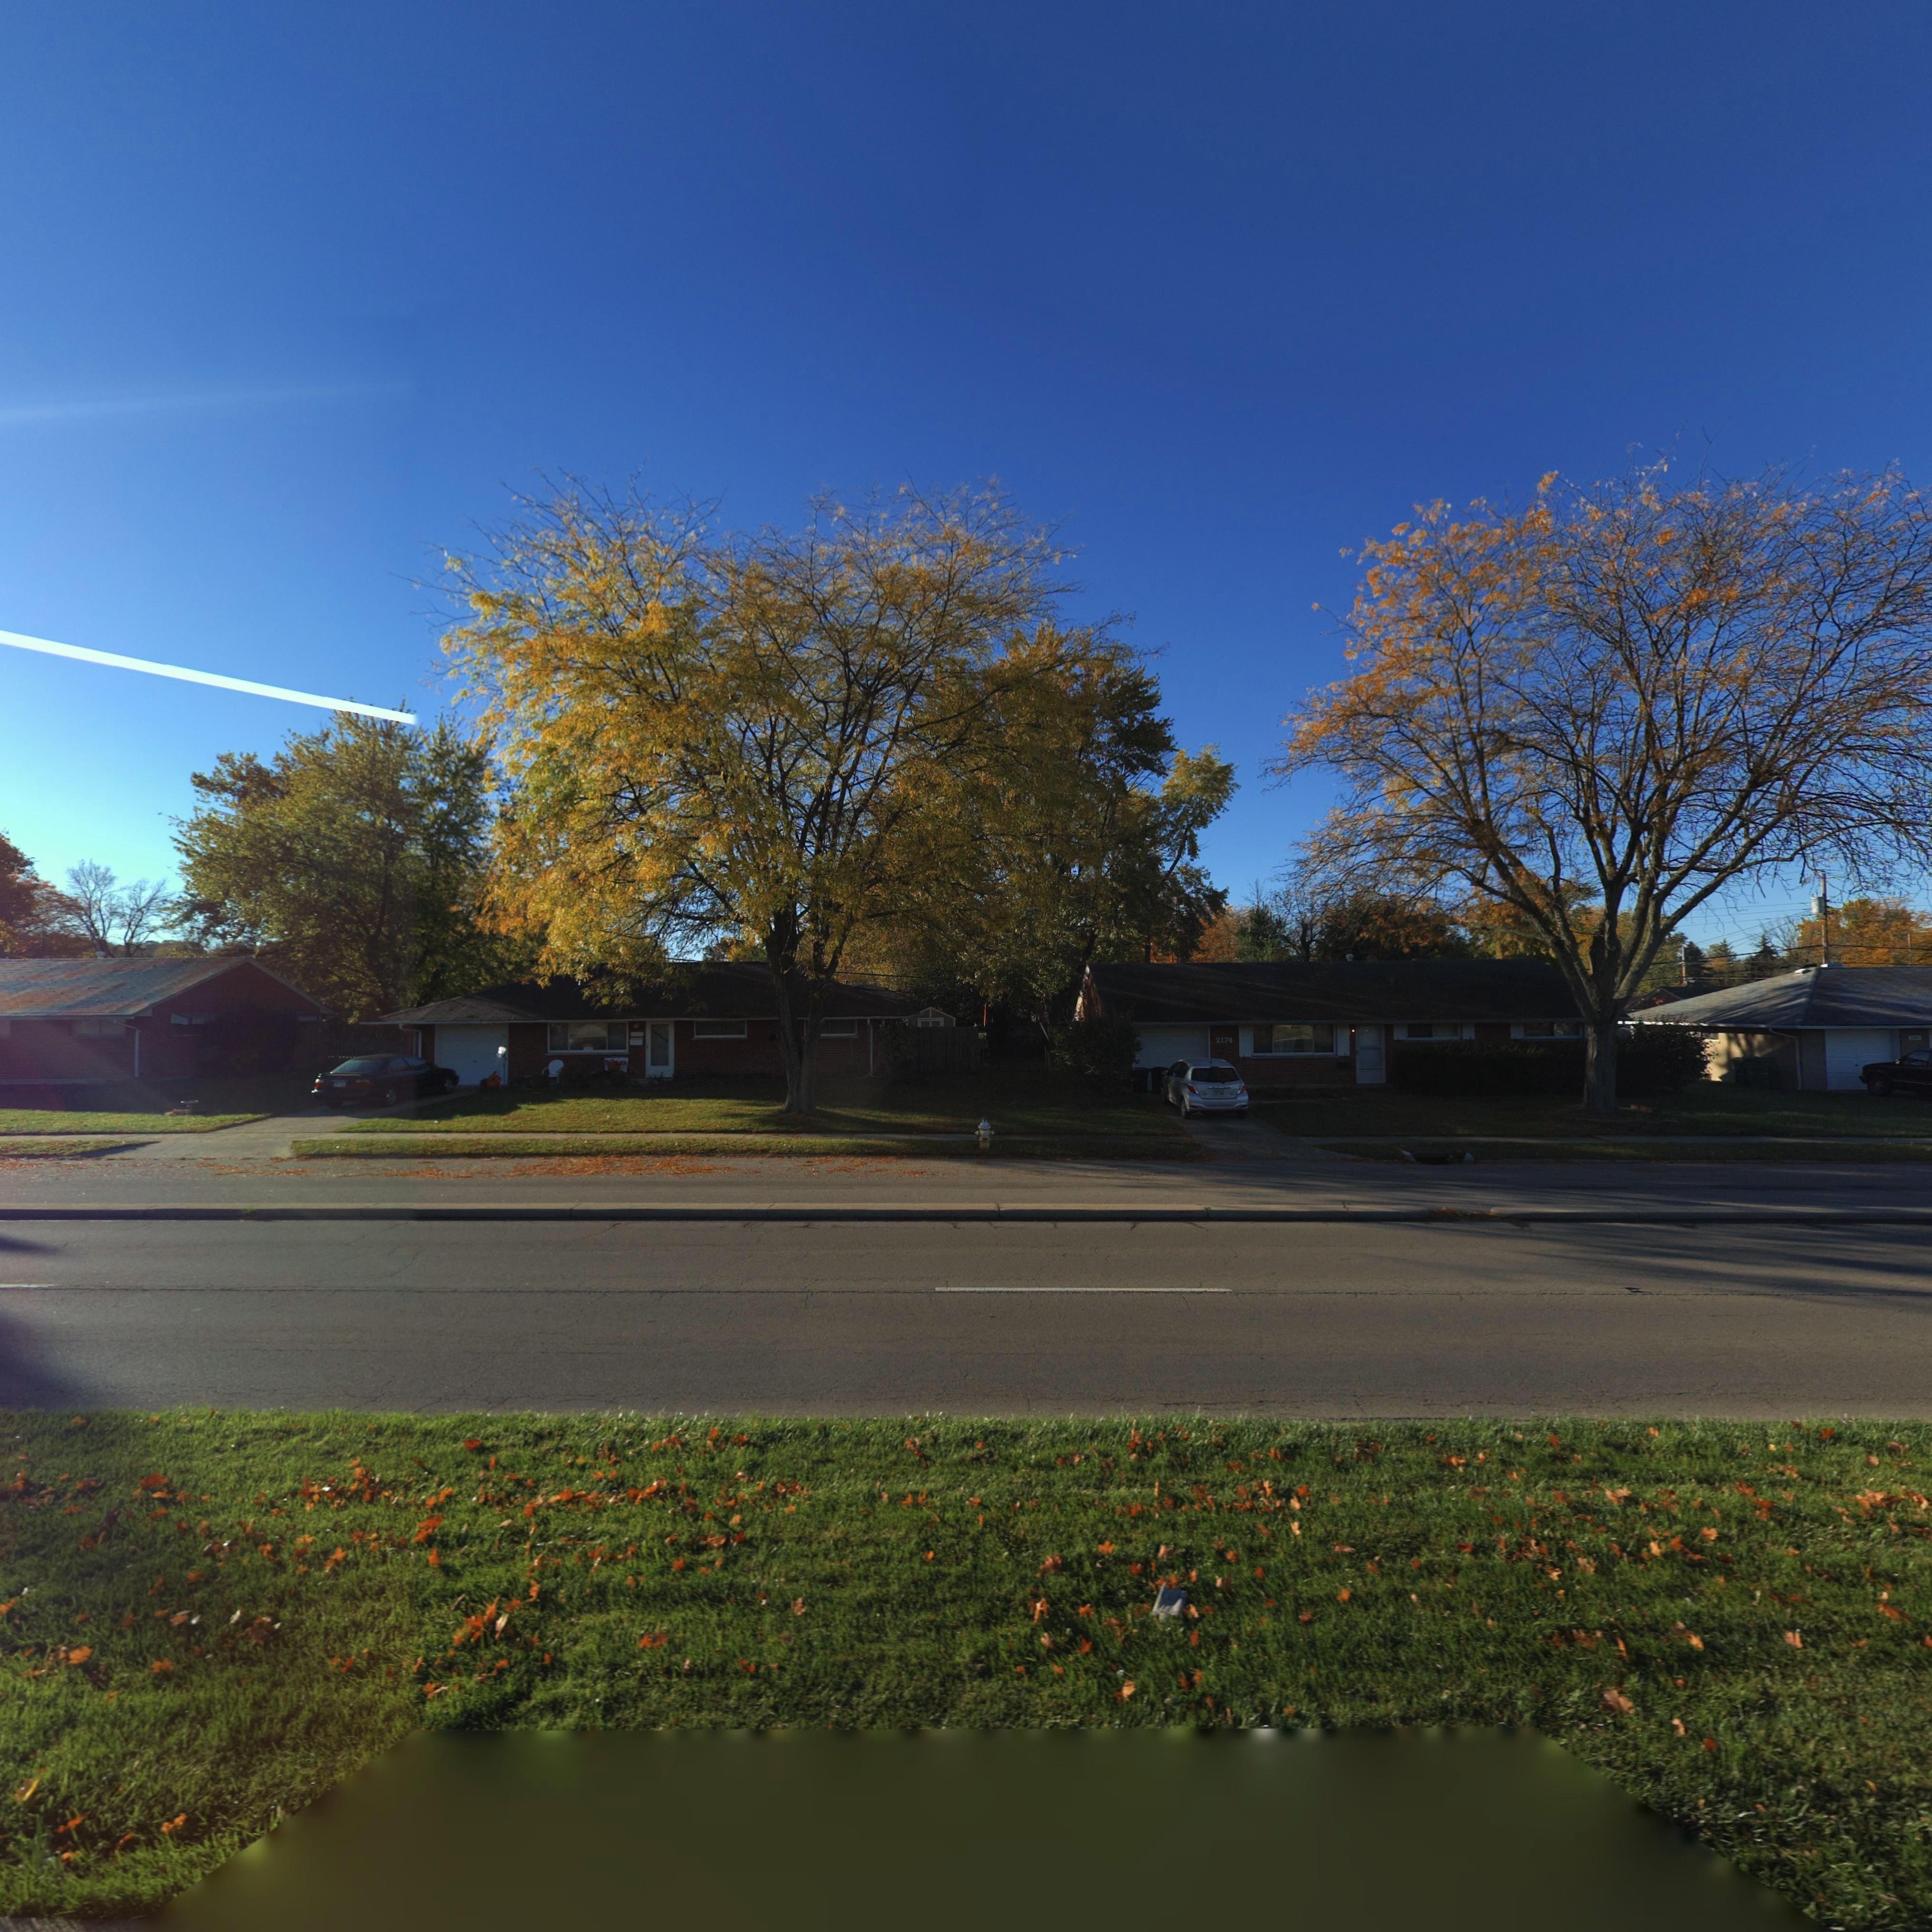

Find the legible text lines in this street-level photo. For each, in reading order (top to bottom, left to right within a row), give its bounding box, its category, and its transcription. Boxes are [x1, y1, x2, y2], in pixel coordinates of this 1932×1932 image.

[1215, 1036, 1233, 1043] StreetNumber: 2174